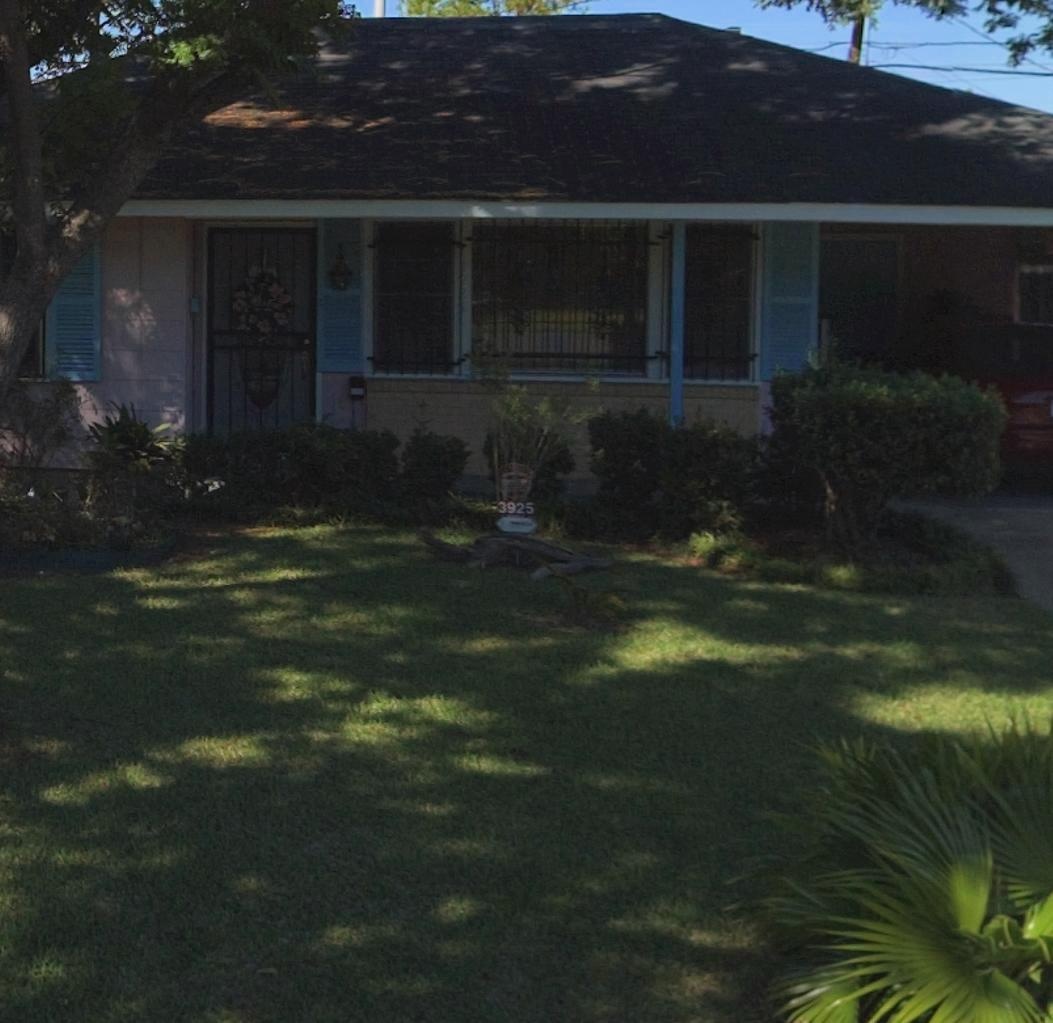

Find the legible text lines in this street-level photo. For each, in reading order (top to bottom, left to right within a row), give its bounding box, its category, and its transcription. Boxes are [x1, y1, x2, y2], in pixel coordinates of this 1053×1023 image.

[497, 500, 535, 515] StreetNumber: 3925